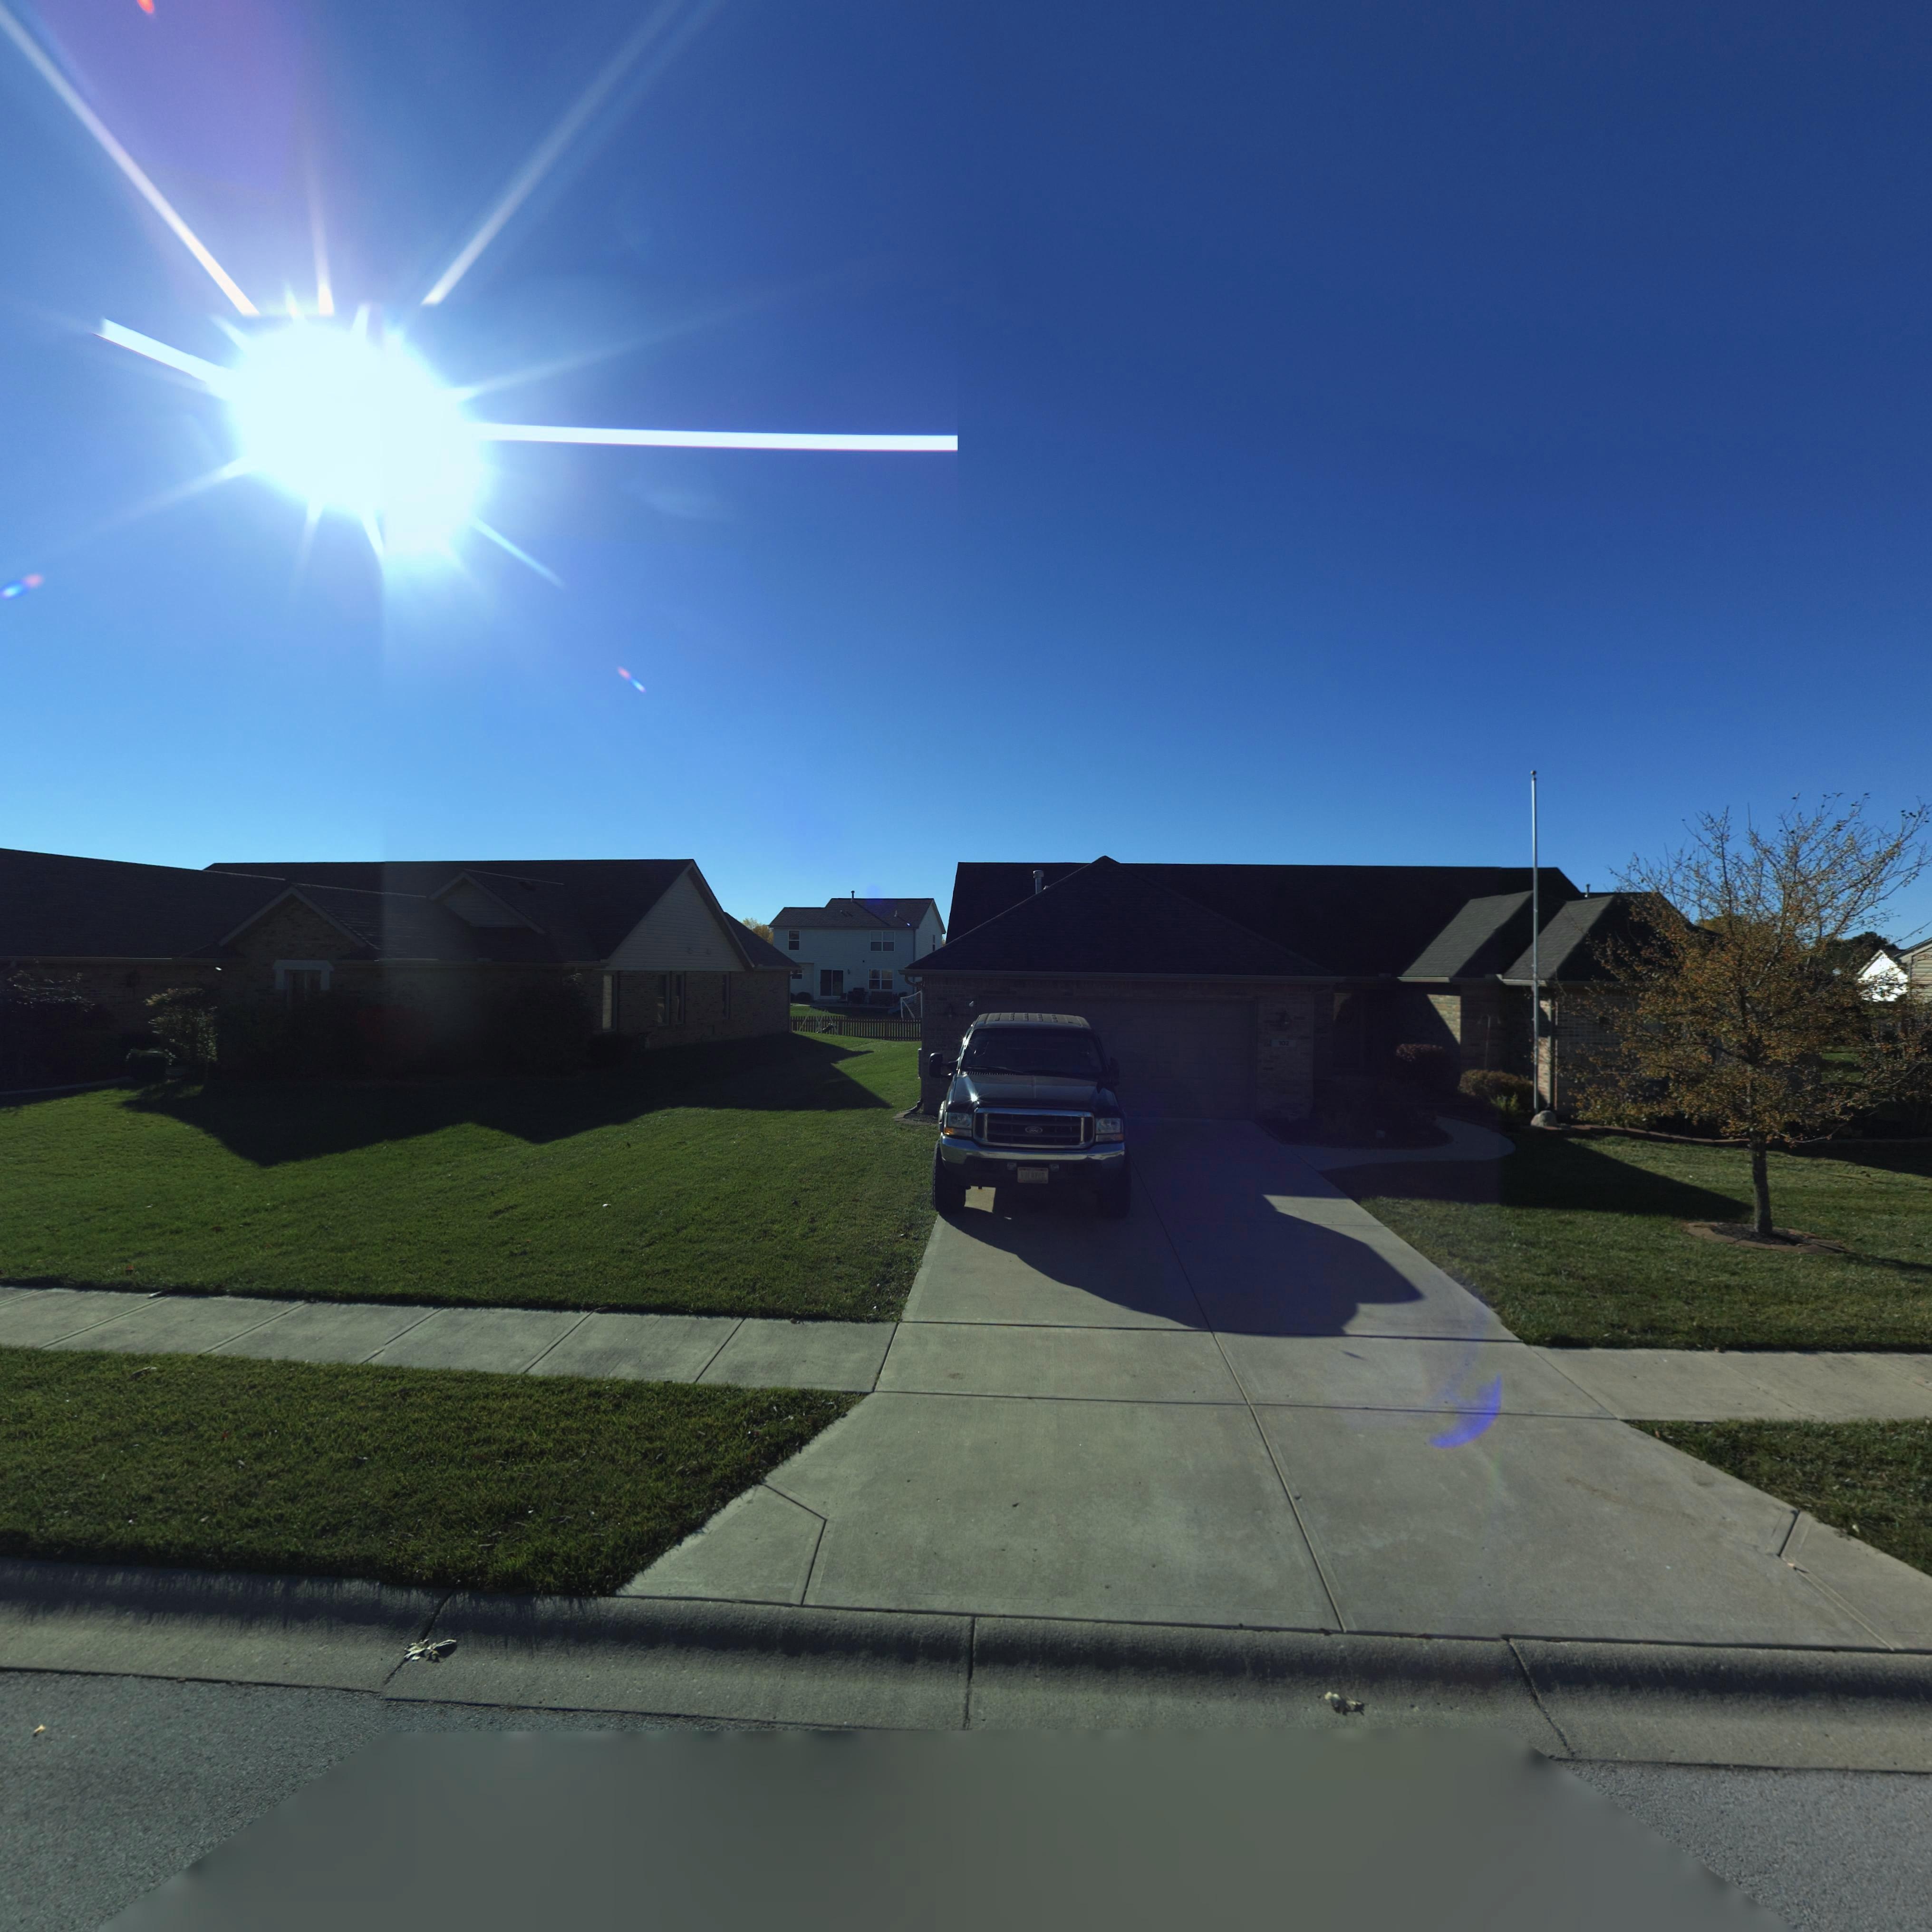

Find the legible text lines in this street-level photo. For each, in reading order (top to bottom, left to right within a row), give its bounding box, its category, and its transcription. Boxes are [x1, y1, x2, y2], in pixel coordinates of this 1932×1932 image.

[1278, 1040, 1290, 1047] StreetNumber: 102